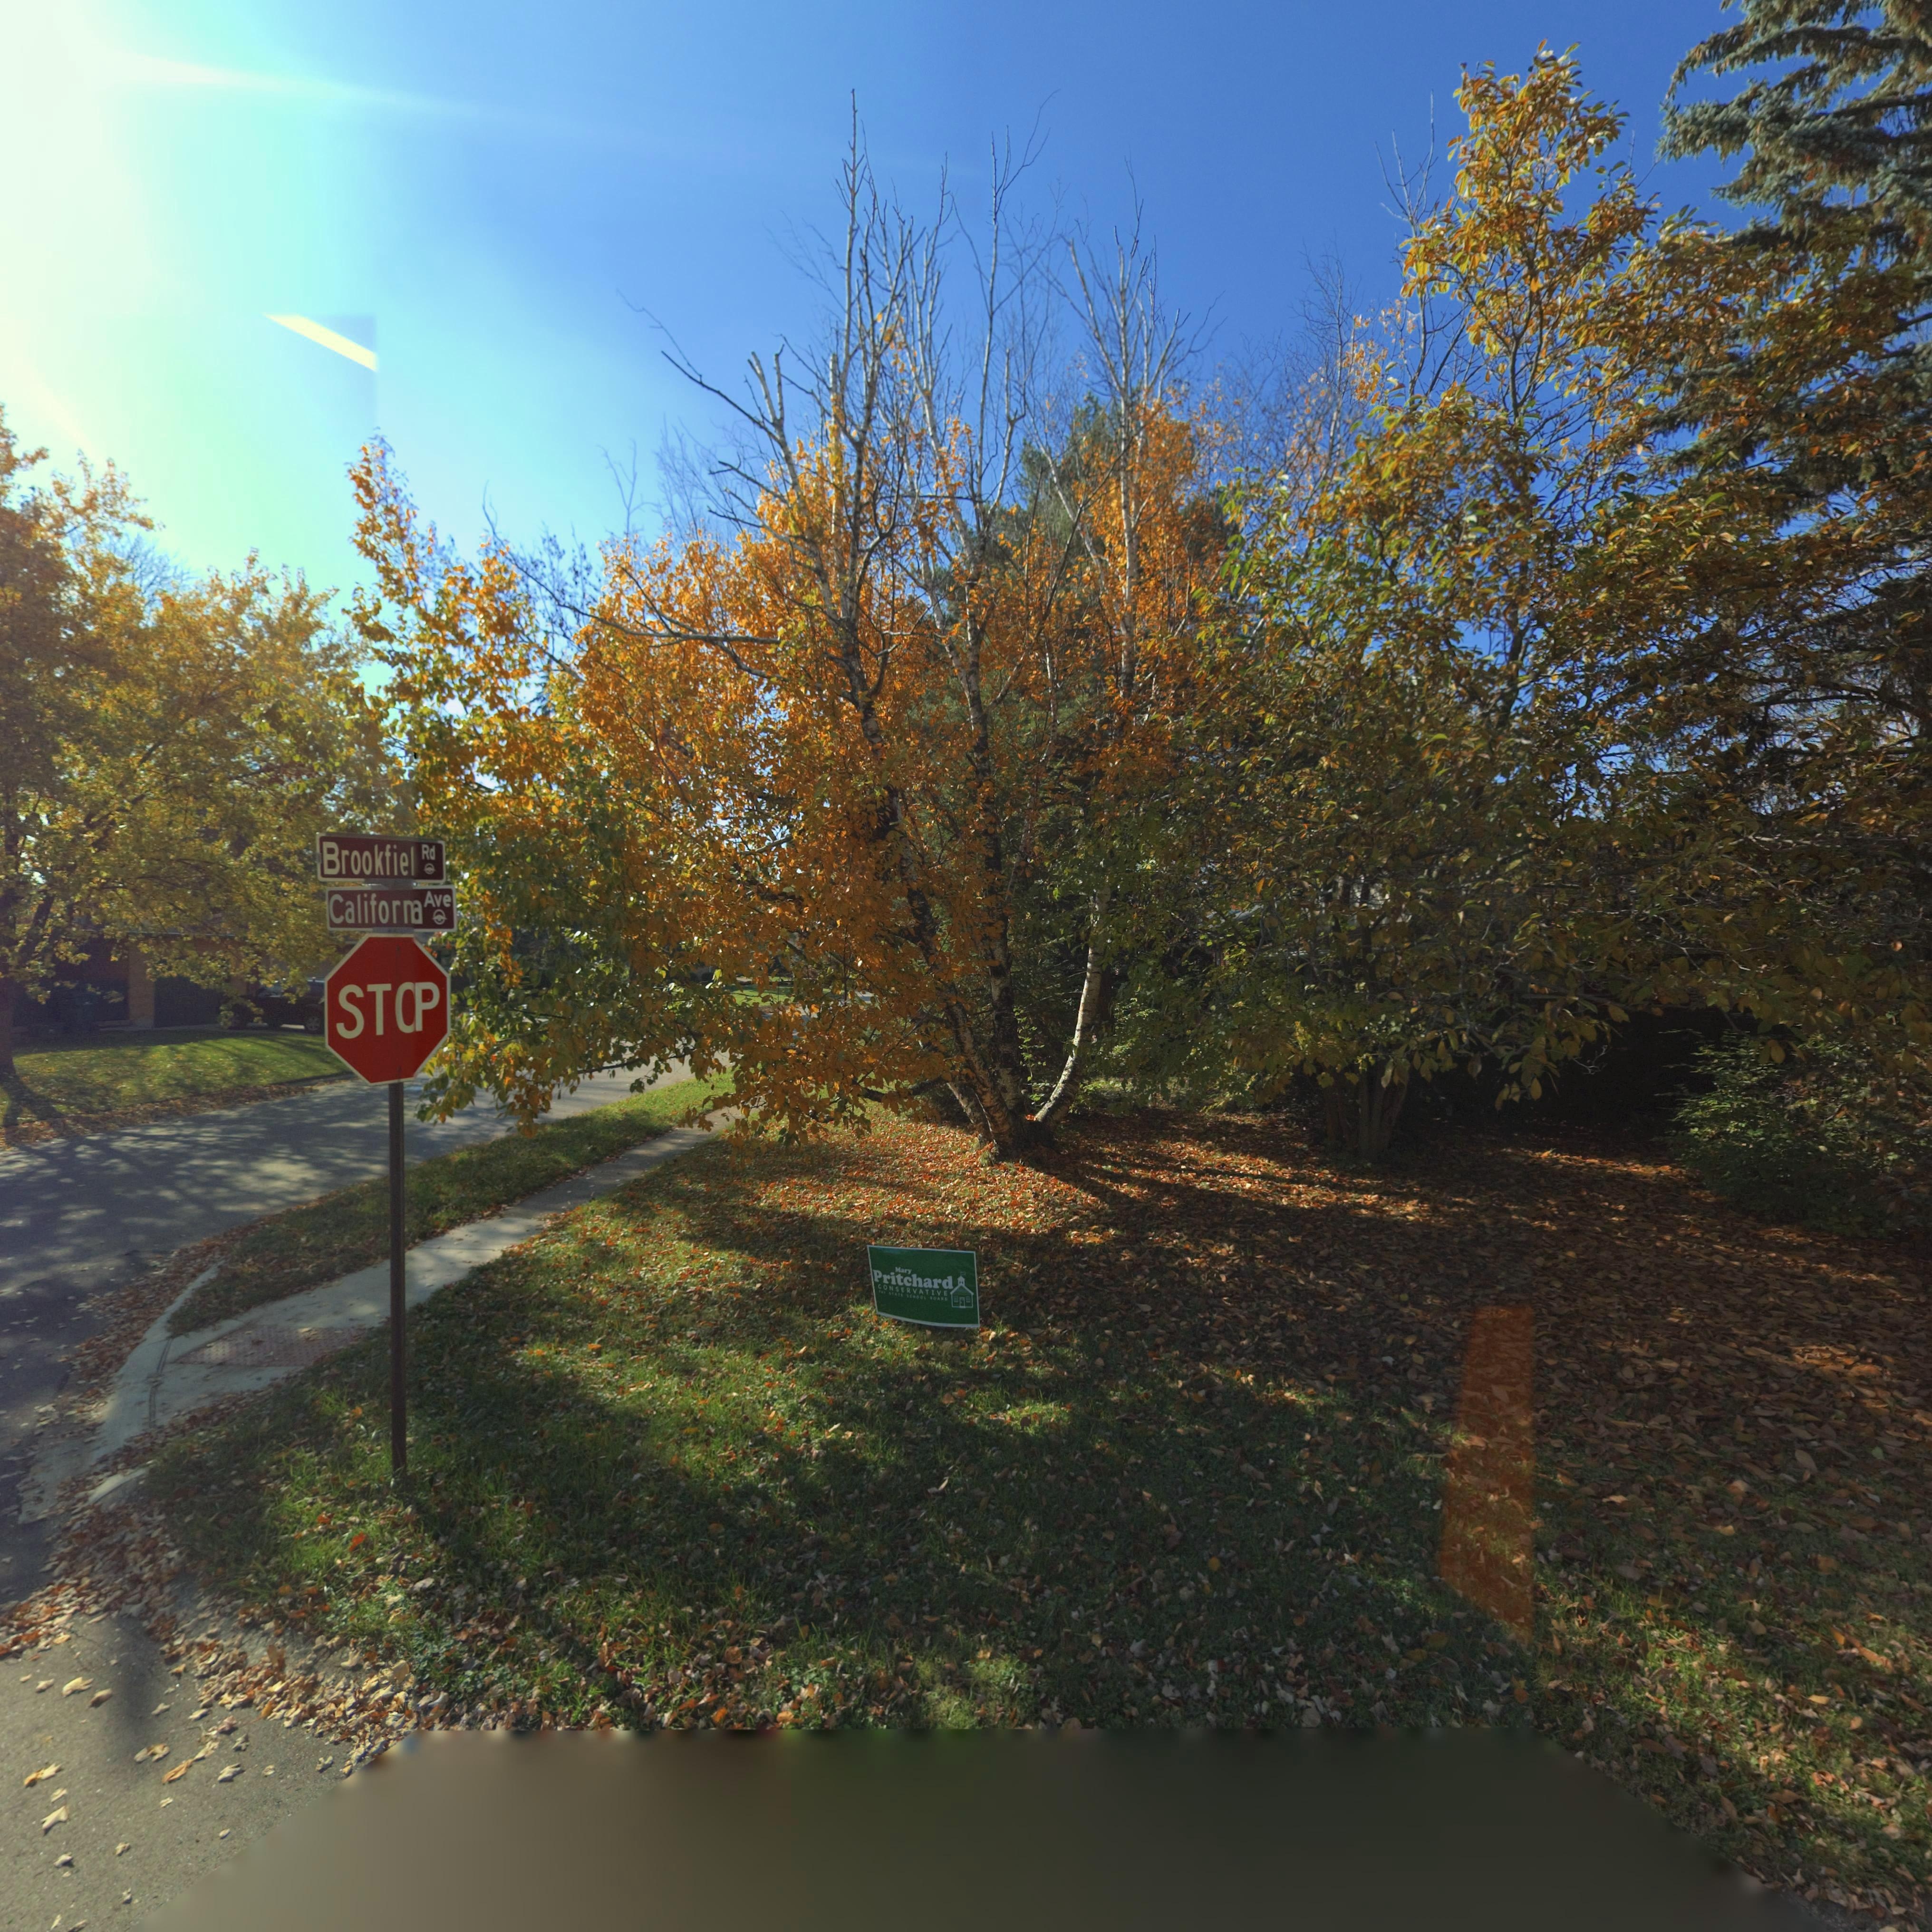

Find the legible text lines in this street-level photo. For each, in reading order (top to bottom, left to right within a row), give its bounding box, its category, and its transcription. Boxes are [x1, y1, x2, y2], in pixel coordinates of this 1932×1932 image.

[321, 840, 437, 877] StreetName: Brookfiel Rd
[328, 889, 452, 925] StreetName: Califor** Ave
[334, 980, 441, 1040] None: ST*P
[894, 1266, 913, 1275] None: Mary
[878, 1283, 948, 1297] None: CONSERVATIVE
[878, 1289, 948, 1302] None: THE STATE SCHOOL 
[872, 1269, 954, 1290] None: Pritchard\